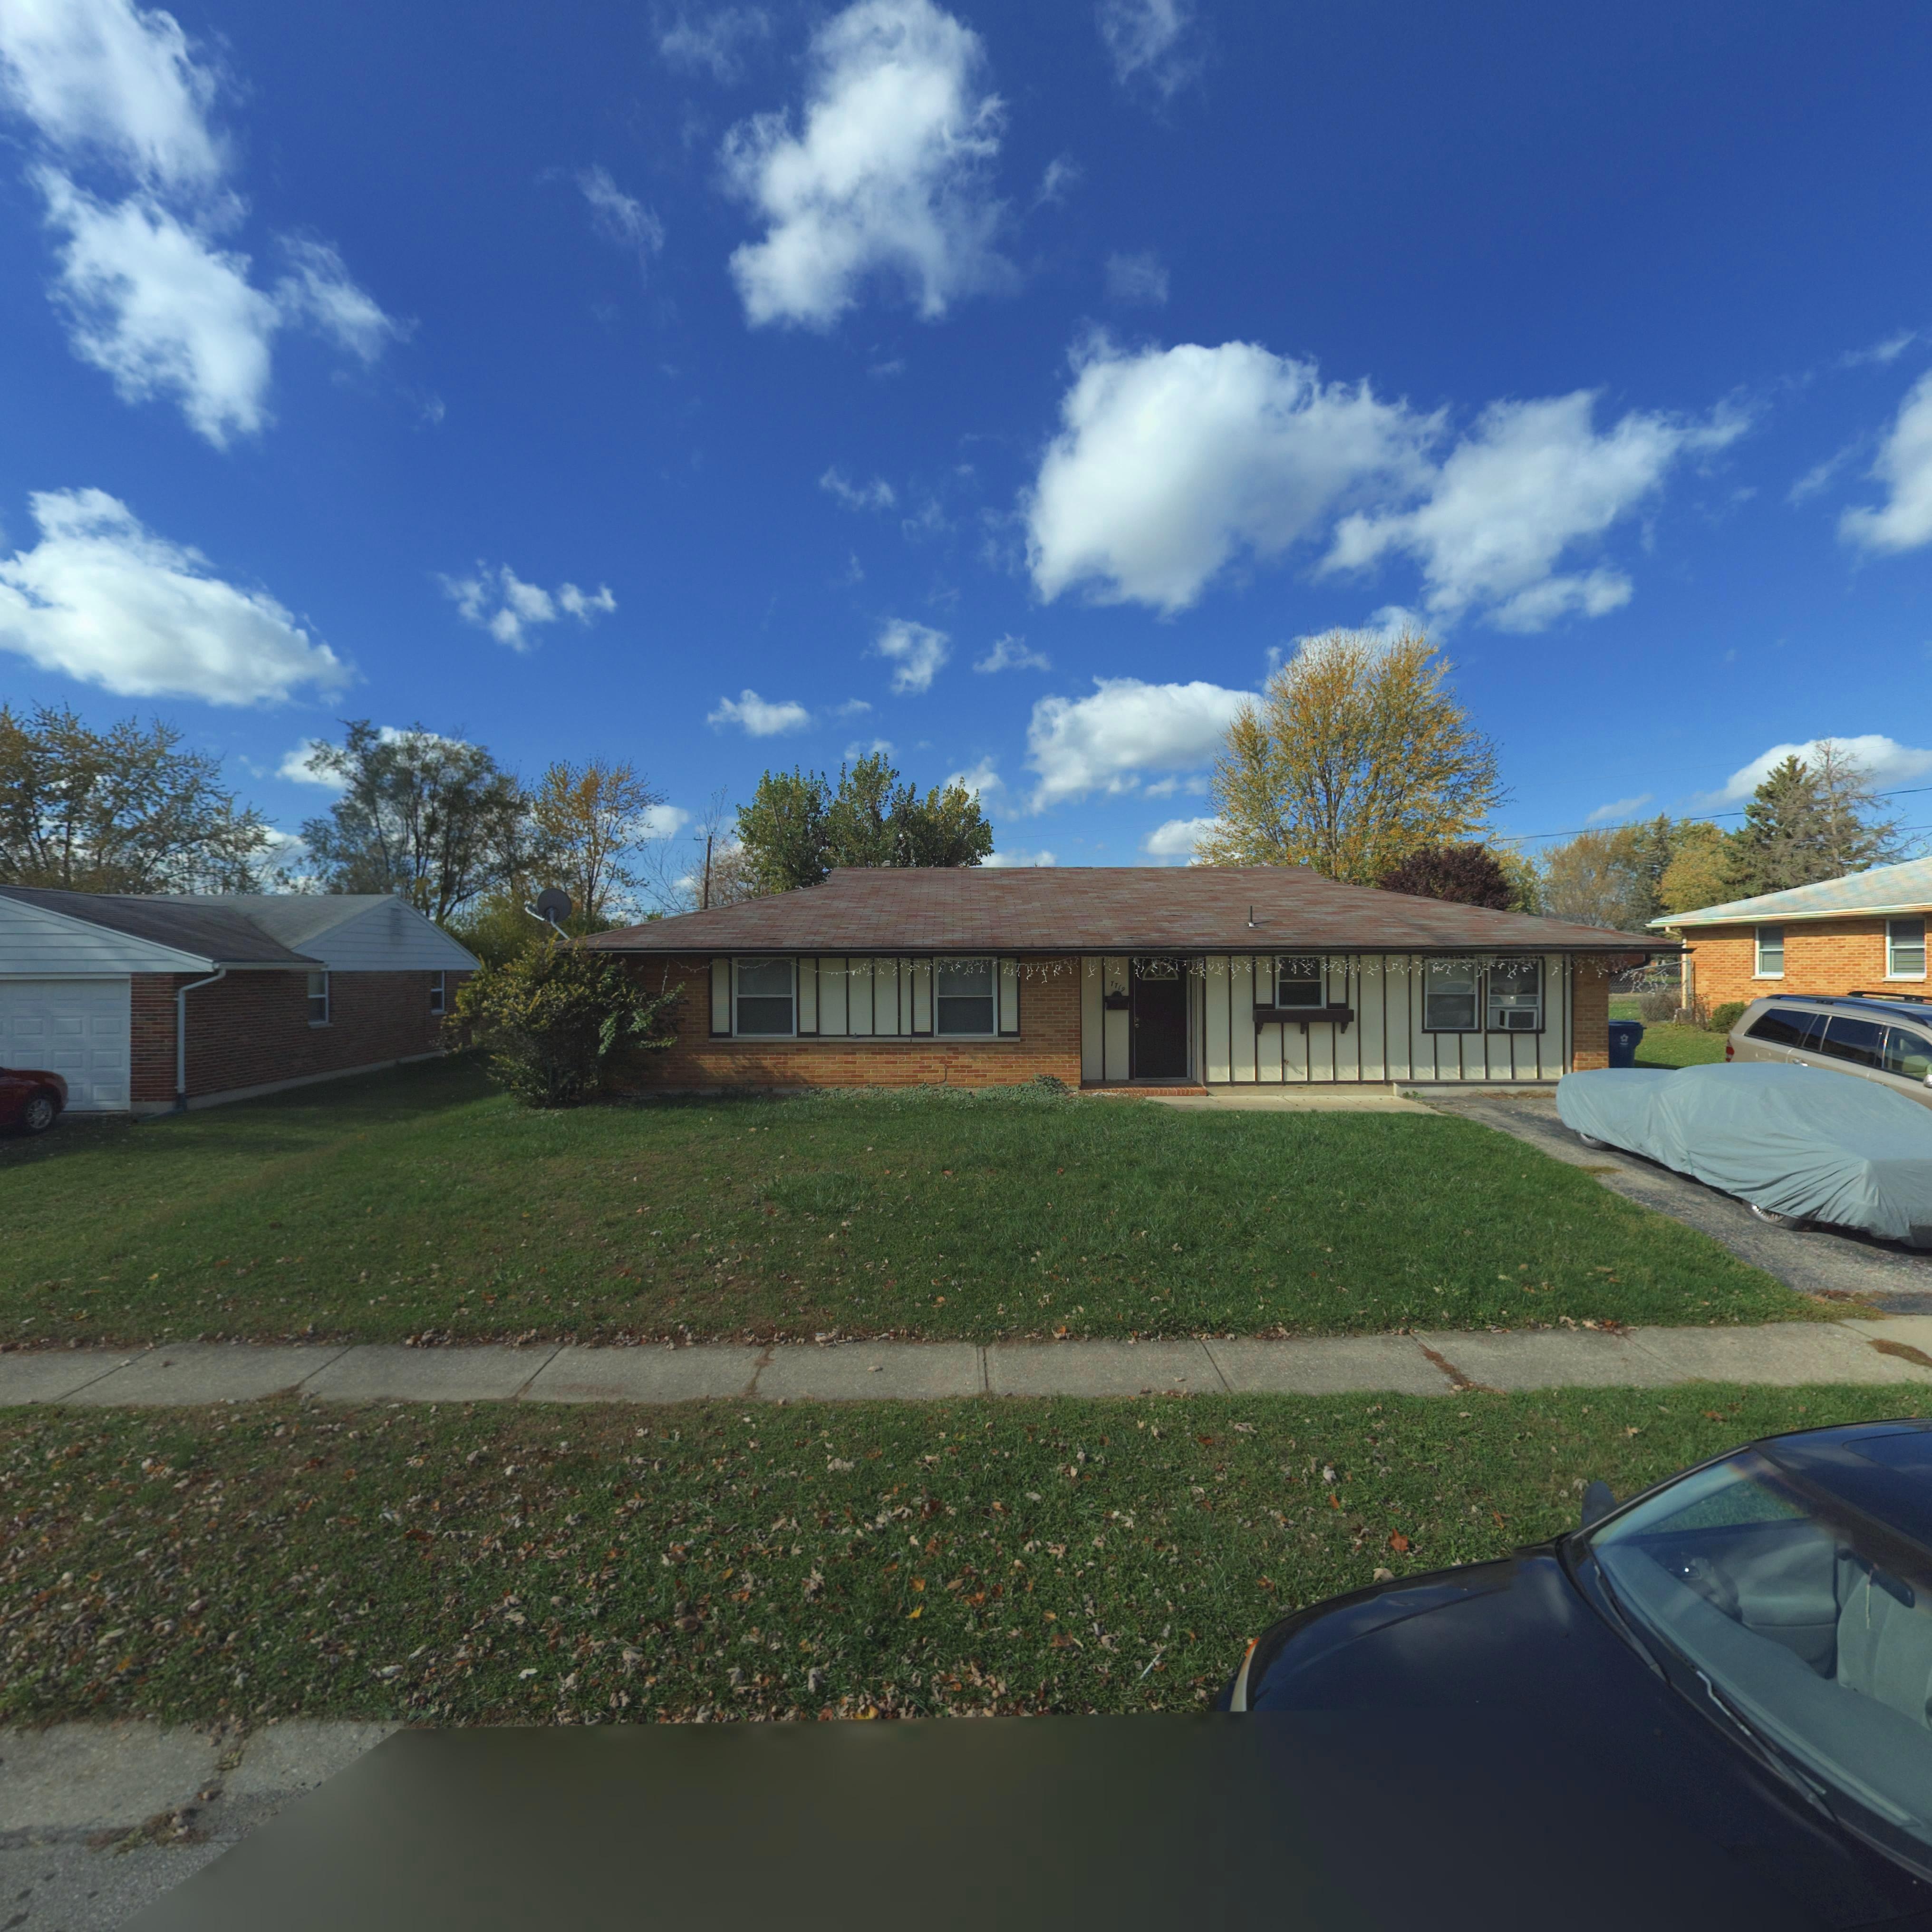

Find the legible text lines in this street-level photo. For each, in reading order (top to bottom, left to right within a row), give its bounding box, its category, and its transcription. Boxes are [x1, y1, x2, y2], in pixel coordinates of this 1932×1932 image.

[1110, 980, 1126, 993] StreetNumber: 7719